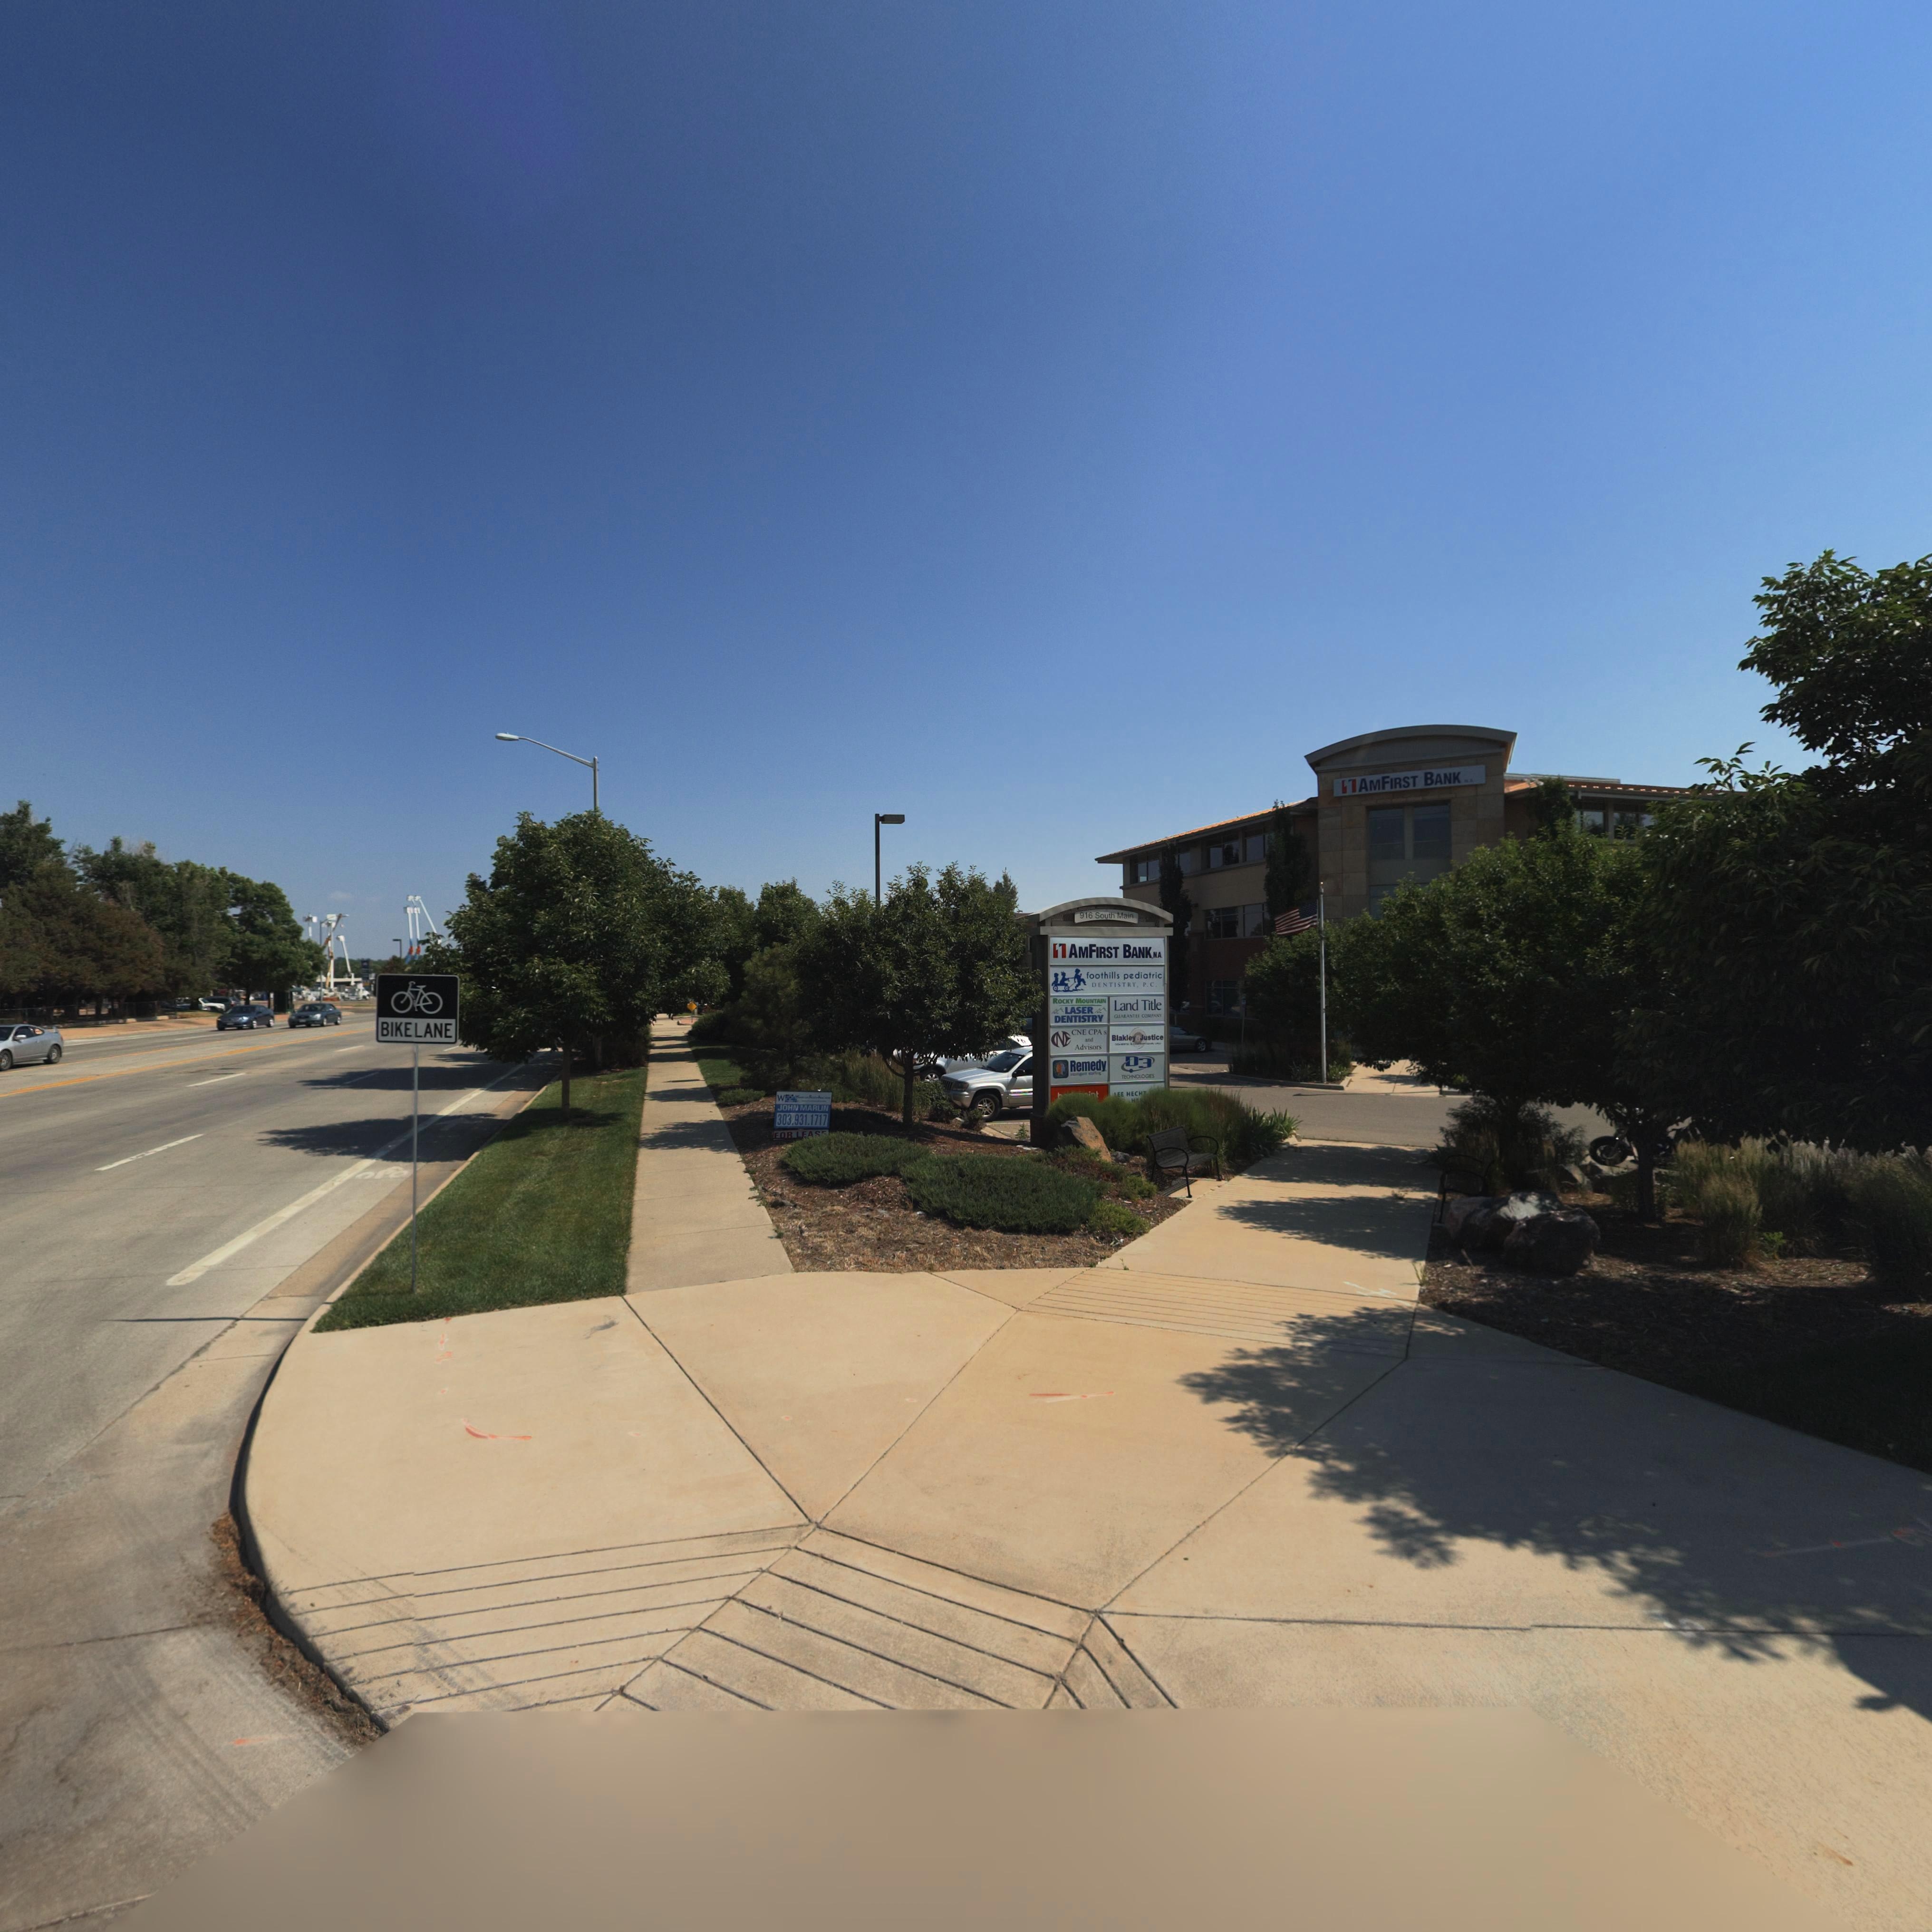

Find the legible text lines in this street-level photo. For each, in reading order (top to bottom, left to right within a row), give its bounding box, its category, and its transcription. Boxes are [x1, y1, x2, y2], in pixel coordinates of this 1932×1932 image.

[1347, 770, 1462, 793] BusinessName: 1 AMFIRST BANK
[1079, 911, 1092, 919] StreetNumber: 916
[1094, 911, 1134, 919] StreetName: South Main
[1058, 943, 1163, 958] BusinessName: 1 AMFIRST BANK NA
[1086, 971, 1163, 980] BusinessName: foothills pediatric
[1092, 981, 1154, 987] BusinessName: DENTISTRY, P.C
[1052, 997, 1106, 1004] BusinessName: ROCKY MOUNTAIN
[1113, 998, 1162, 1011] BusinessName: Land Title
[1064, 1006, 1093, 1014] BusinessName: LASER
[1054, 1014, 1104, 1023] BusinessName: DENTISTRY
[1113, 1013, 1163, 1019] BusinessName: GUARANTEE COMP
[1071, 1029, 1107, 1035] BusinessName: CNE CPA s
[1084, 1037, 1093, 1042] BusinessName: and
[1111, 1034, 1163, 1042] BusinessName: Blakley Justice
[1073, 1043, 1102, 1051] BusinessName: Advisors
[1069, 1059, 1107, 1072] BusinessName: Remedy
[1125, 1055, 1152, 1068] BusinessName: D3
[1121, 1073, 1155, 1079] BusinessName: TECHNOLOGIES
[1096, 1091, 1099, 1098] BusinessName: t
[1113, 1091, 1147, 1097] BusinessName: LEE HECHT
[1130, 1098, 1135, 1103] BusinessName: H